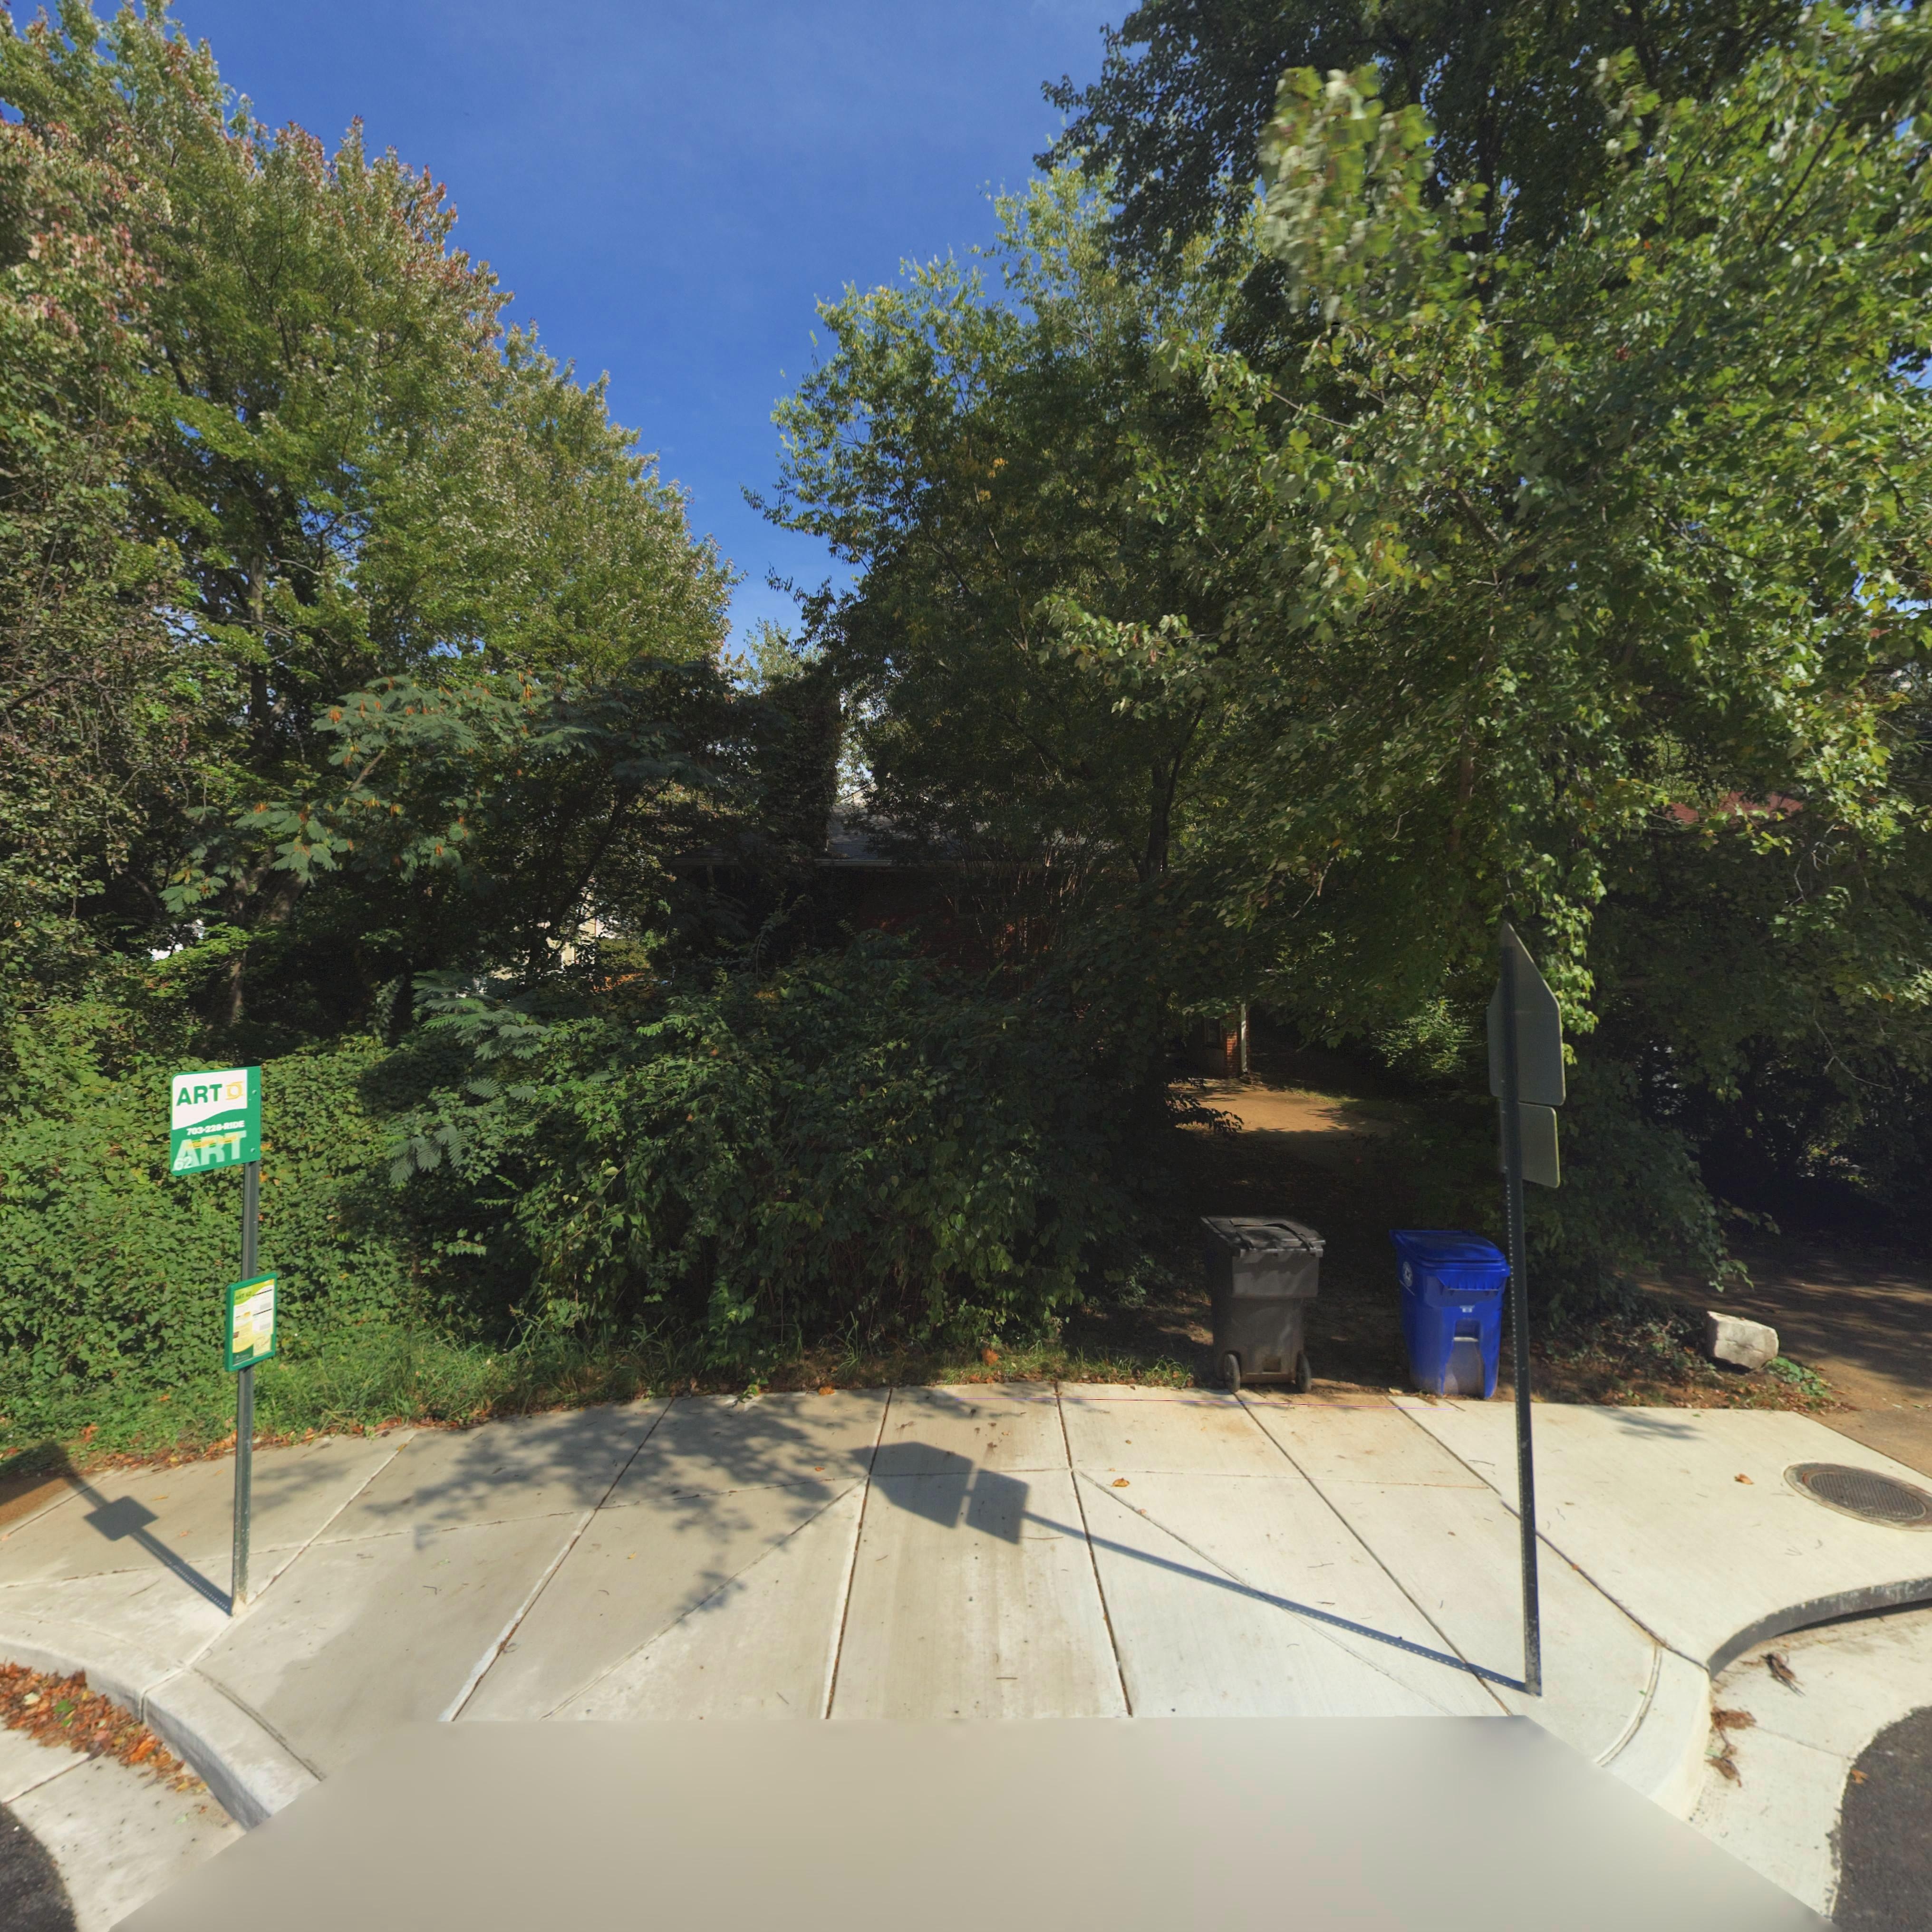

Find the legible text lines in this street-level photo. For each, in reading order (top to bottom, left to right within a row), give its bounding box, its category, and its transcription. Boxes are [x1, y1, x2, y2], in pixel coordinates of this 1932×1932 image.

[174, 1081, 225, 1109] None: ART
[183, 1118, 247, 1138] None: 703-228-RIDE